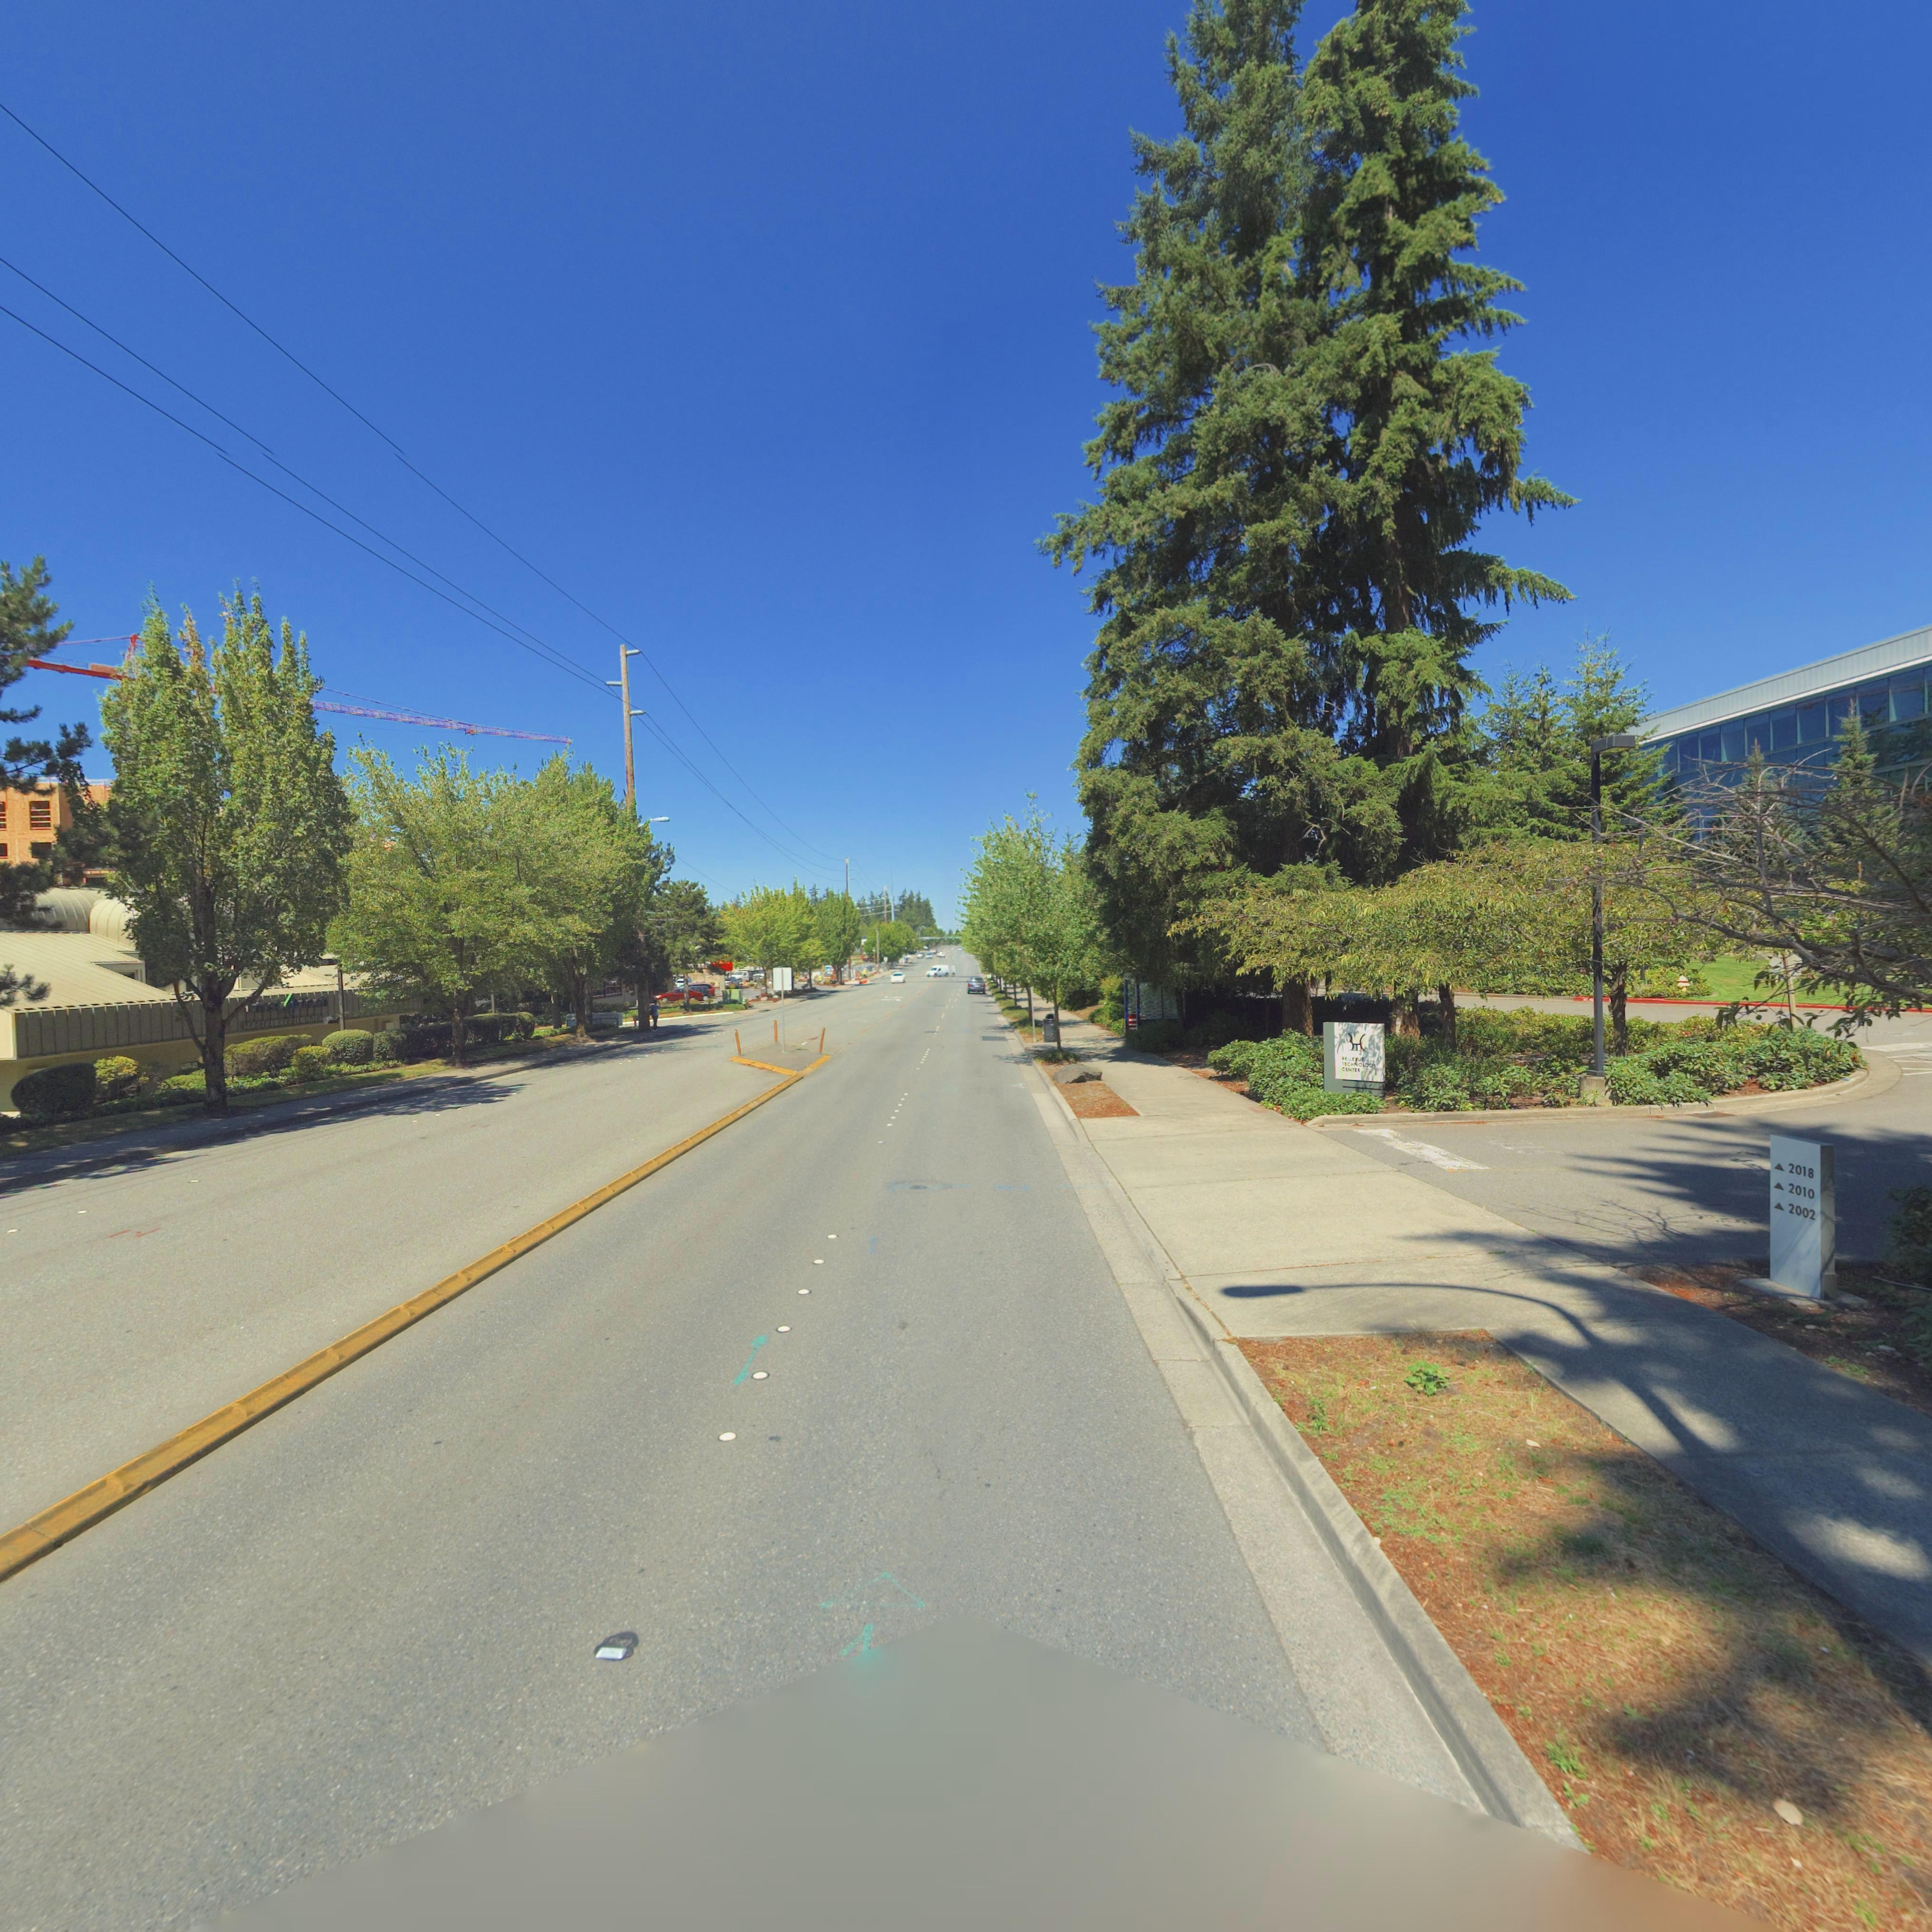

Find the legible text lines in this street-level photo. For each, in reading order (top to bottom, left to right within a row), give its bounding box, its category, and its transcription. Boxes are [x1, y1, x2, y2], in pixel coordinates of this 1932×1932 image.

[1787, 1162, 1814, 1179] StreetNumber: 2018
[1787, 1182, 1815, 1199] StreetNumber: 2010